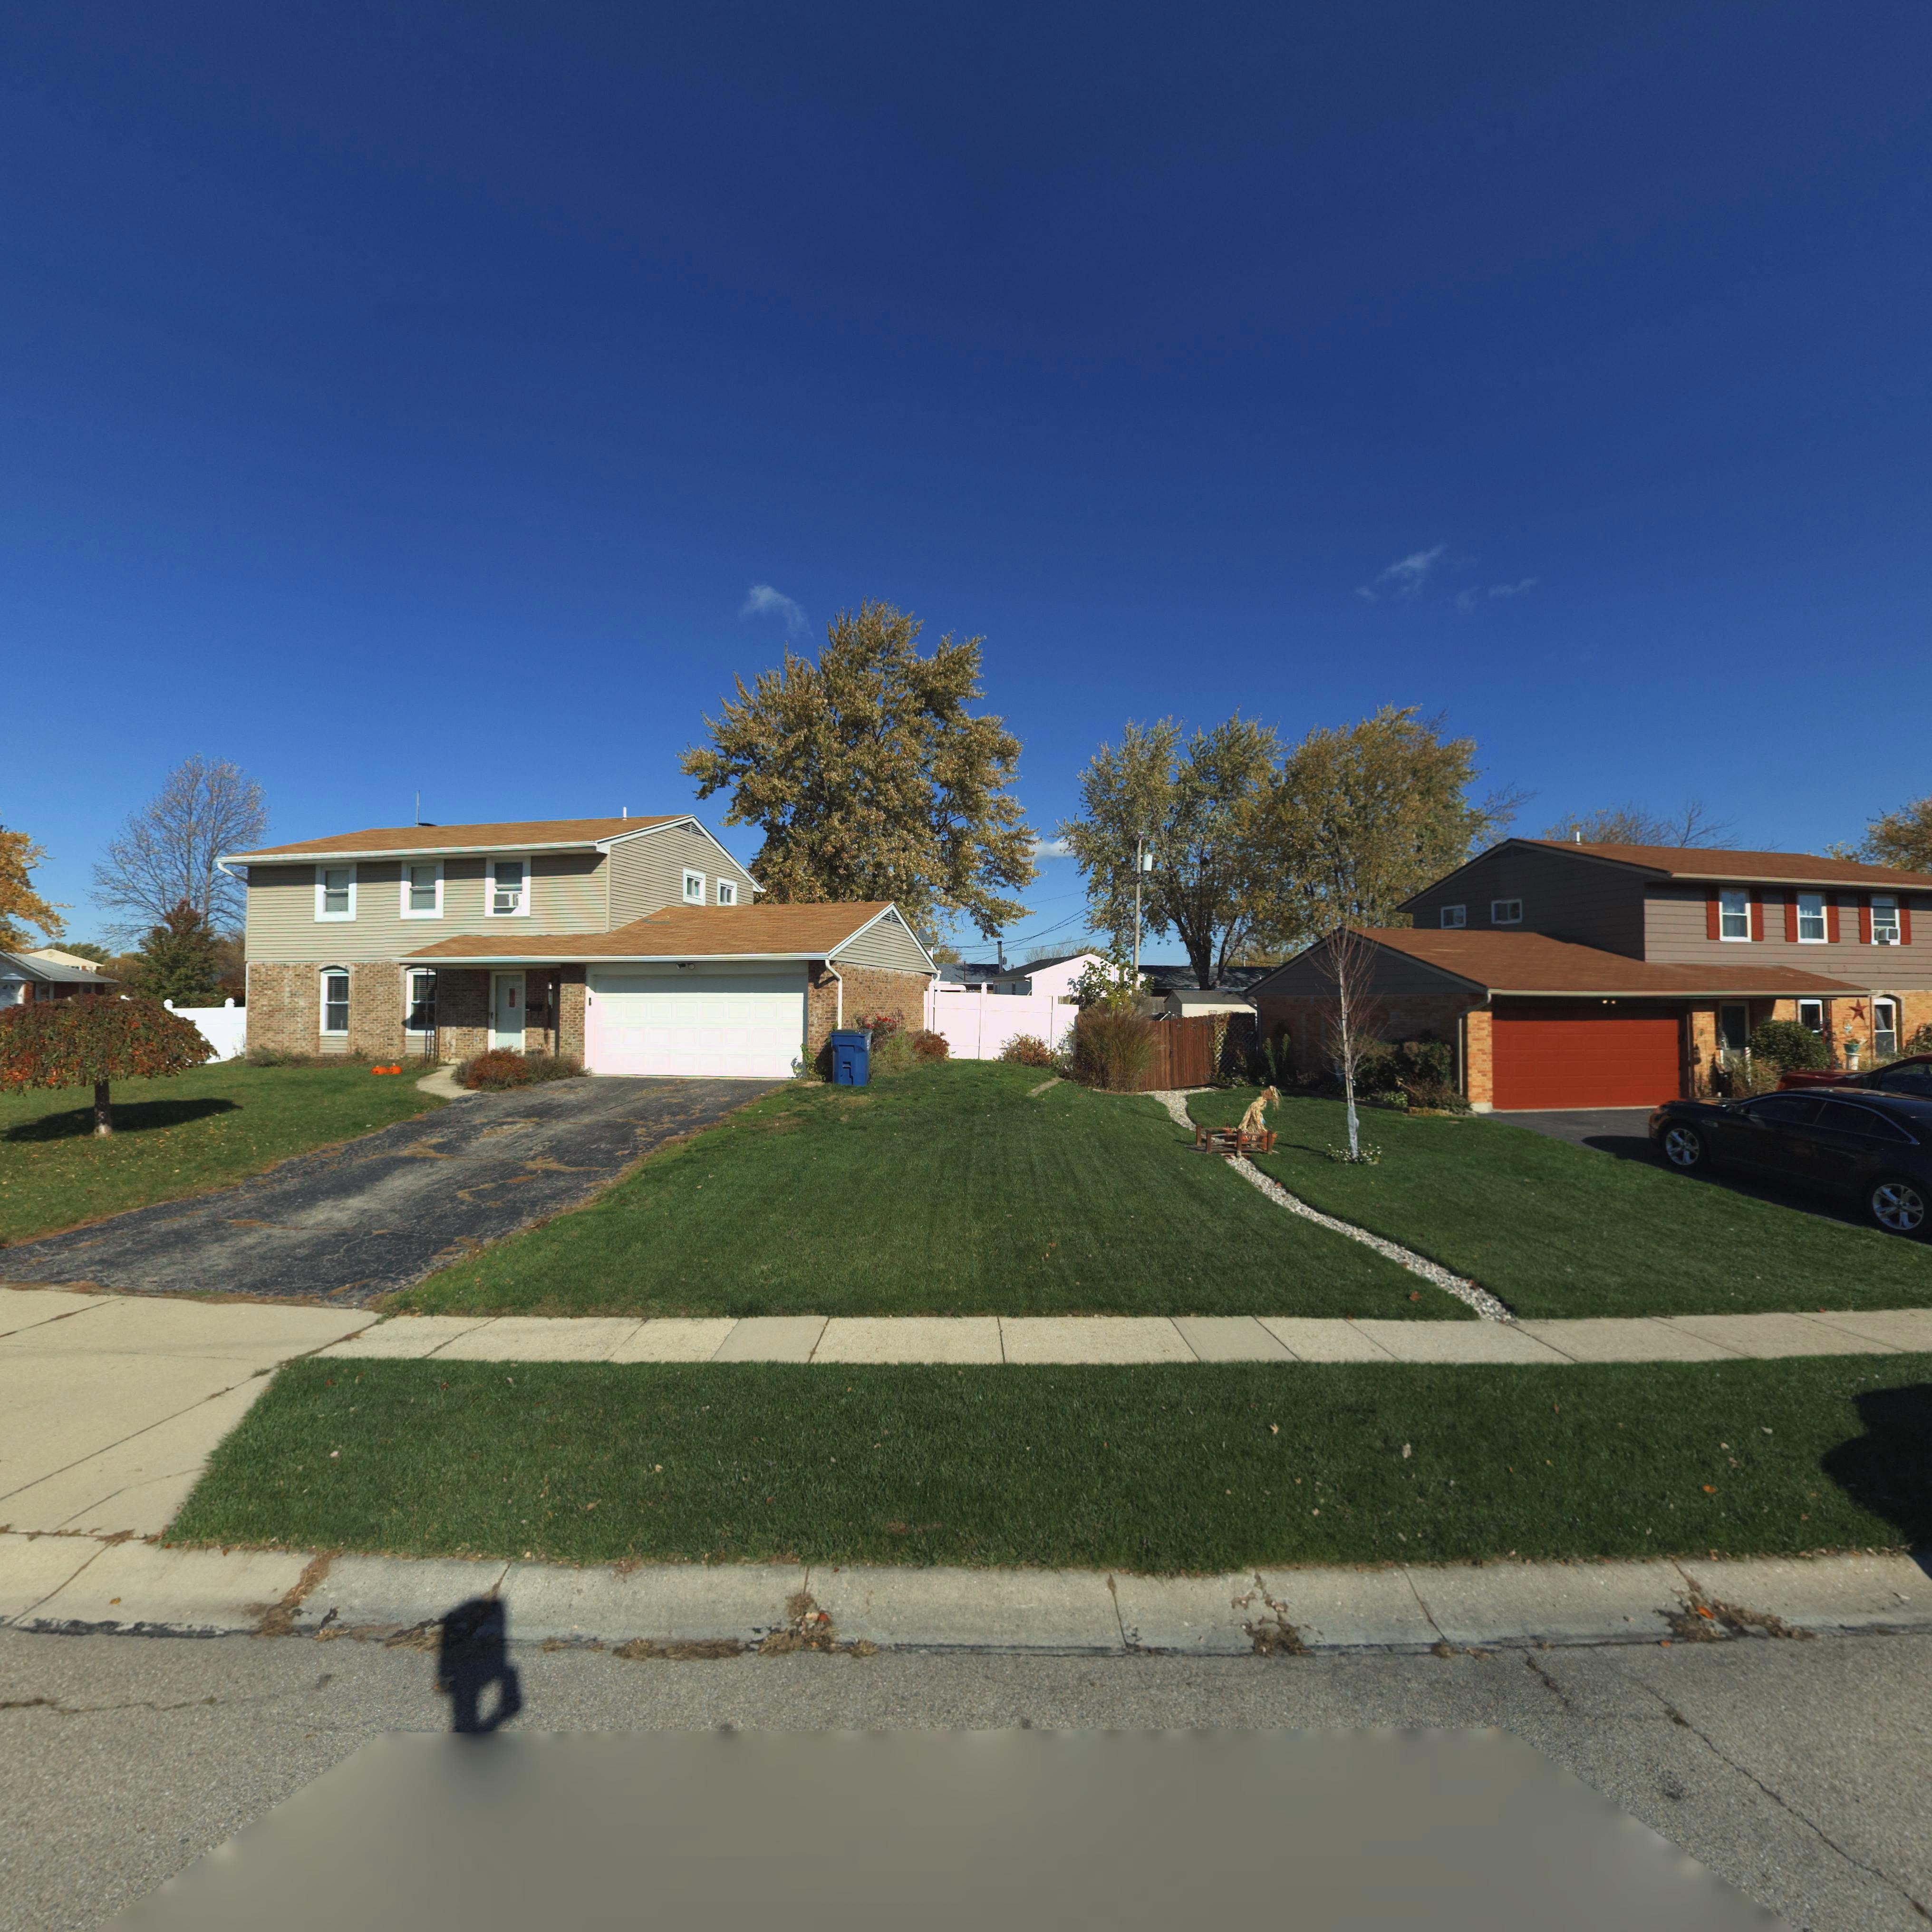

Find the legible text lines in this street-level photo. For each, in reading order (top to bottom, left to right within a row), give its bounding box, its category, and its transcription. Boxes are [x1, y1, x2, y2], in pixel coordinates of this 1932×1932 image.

[1655, 998, 1672, 1006] StreetNumber: 7011